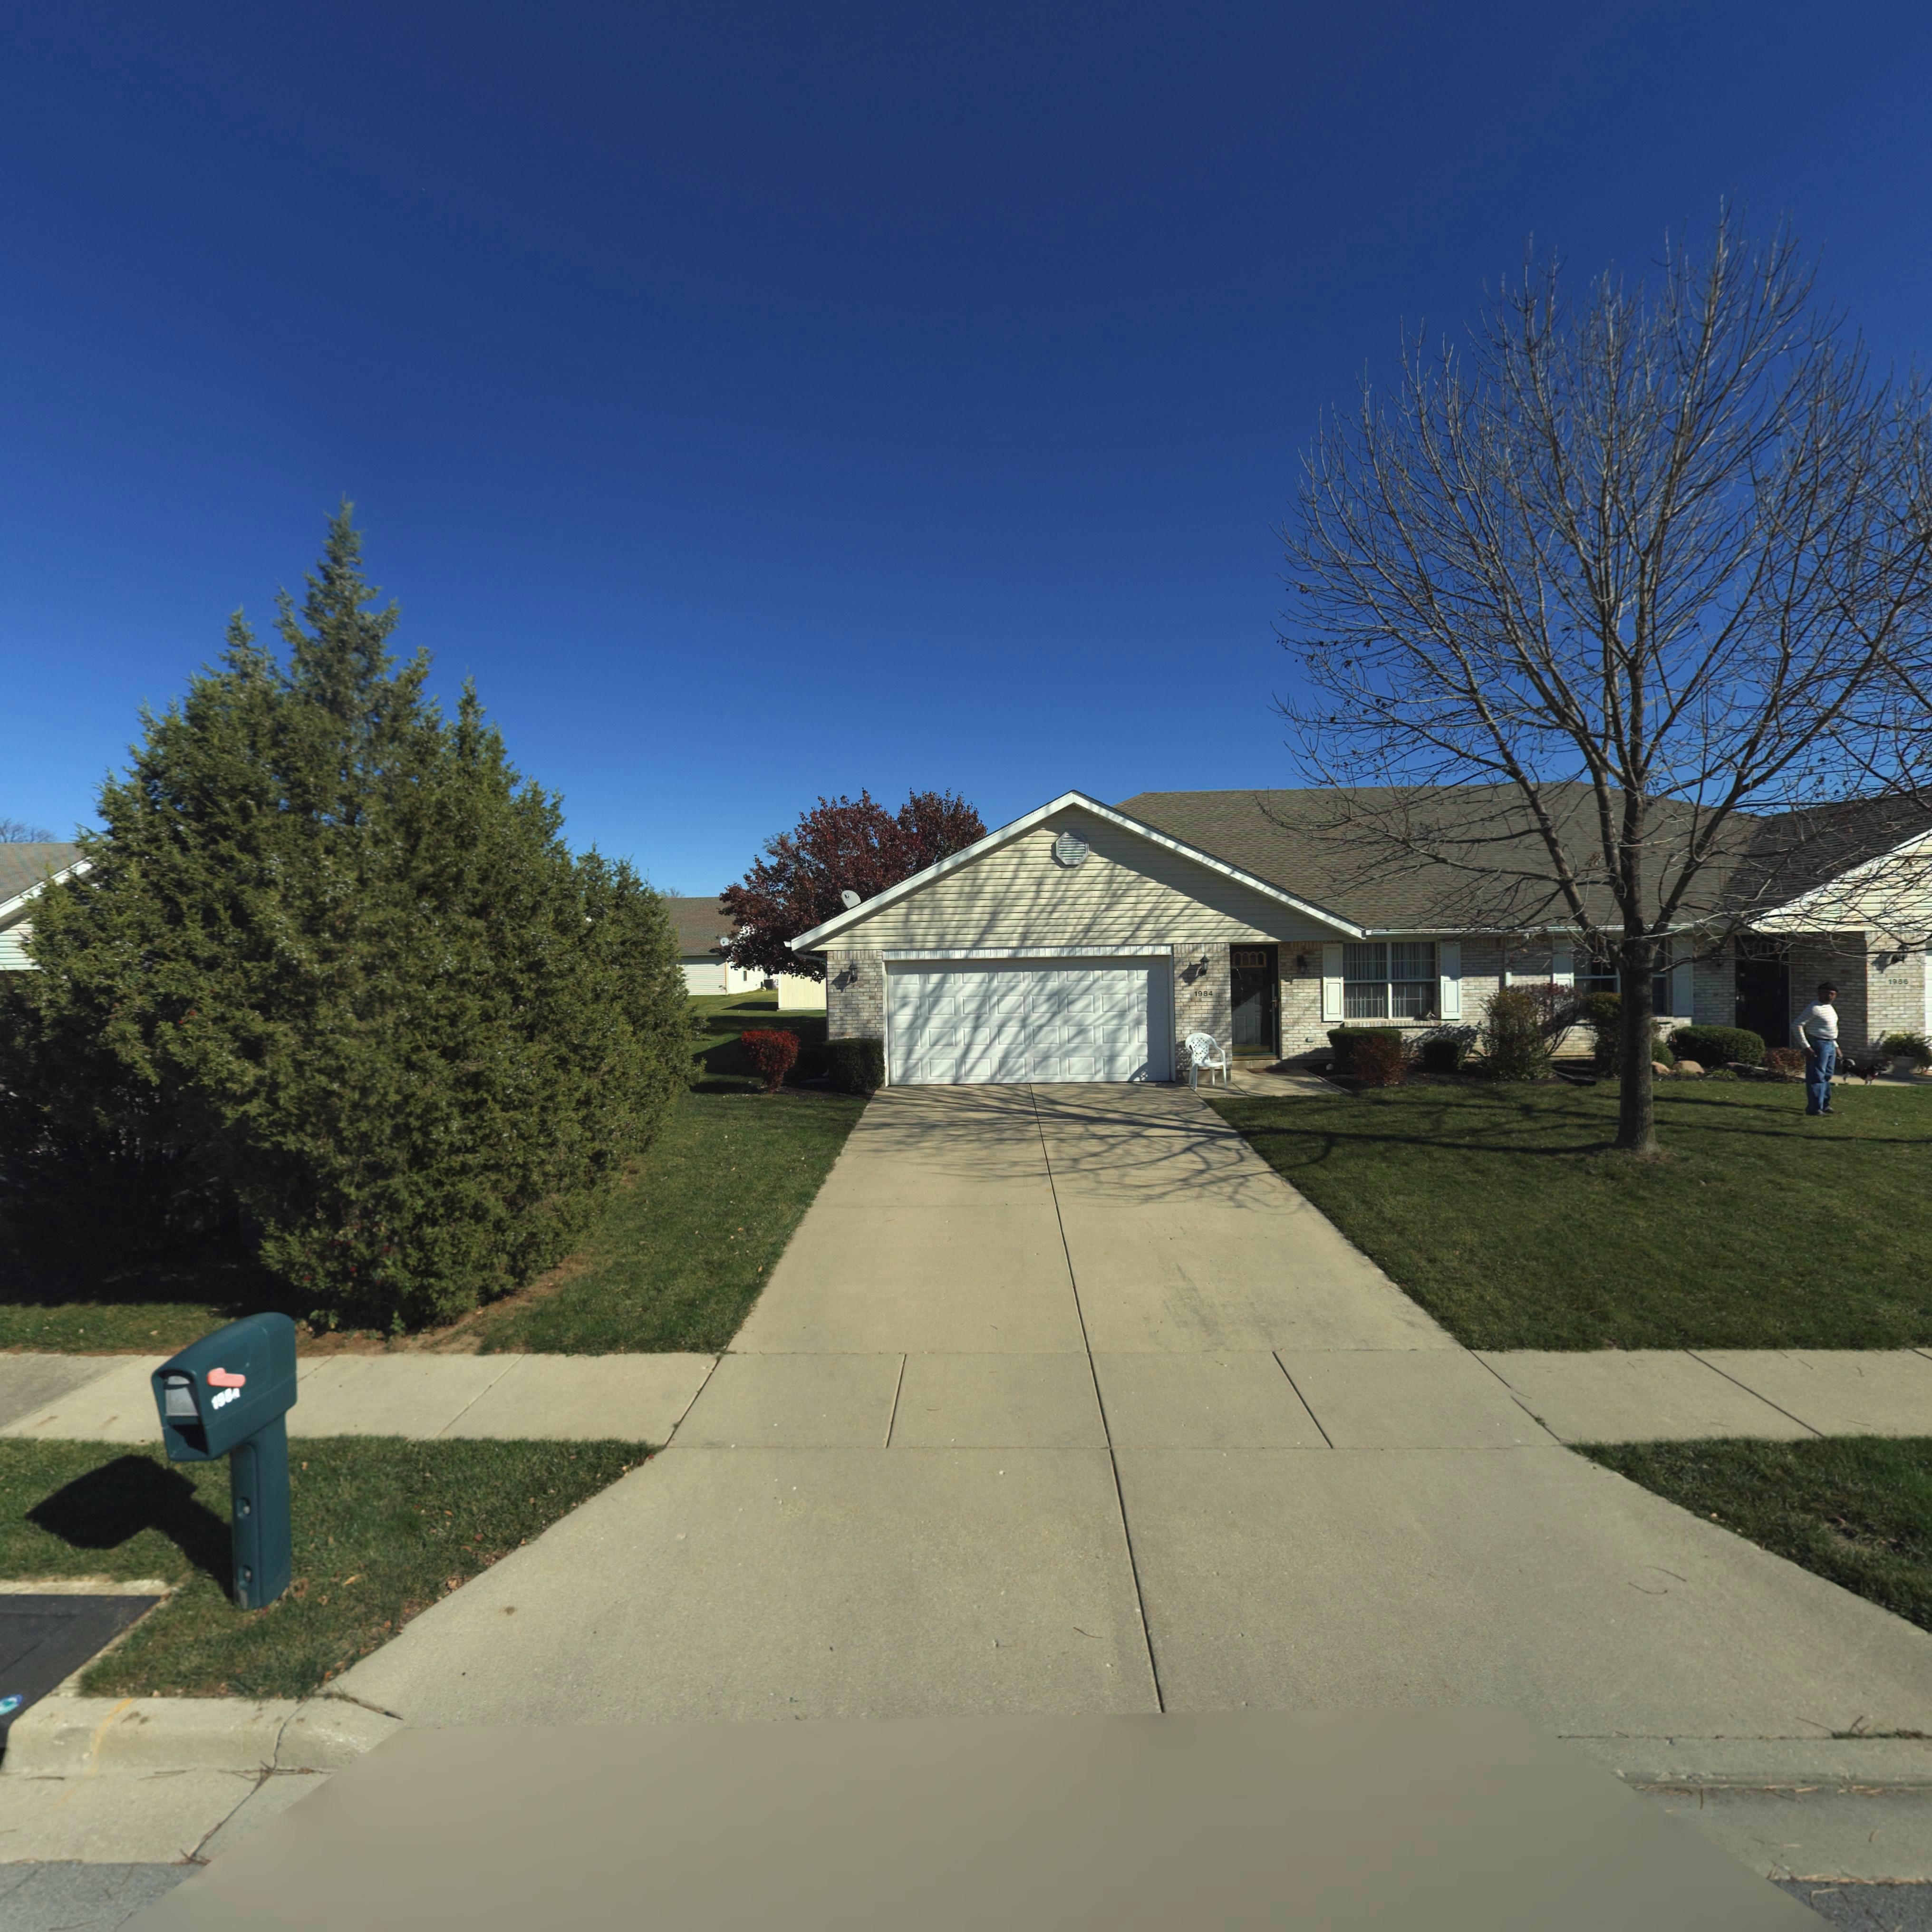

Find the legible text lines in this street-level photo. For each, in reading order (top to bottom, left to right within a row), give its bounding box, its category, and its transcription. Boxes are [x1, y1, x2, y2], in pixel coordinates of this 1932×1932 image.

[1194, 990, 1214, 997] StreetNumber: 1984
[209, 1382, 243, 1413] StreetNumber: 198*